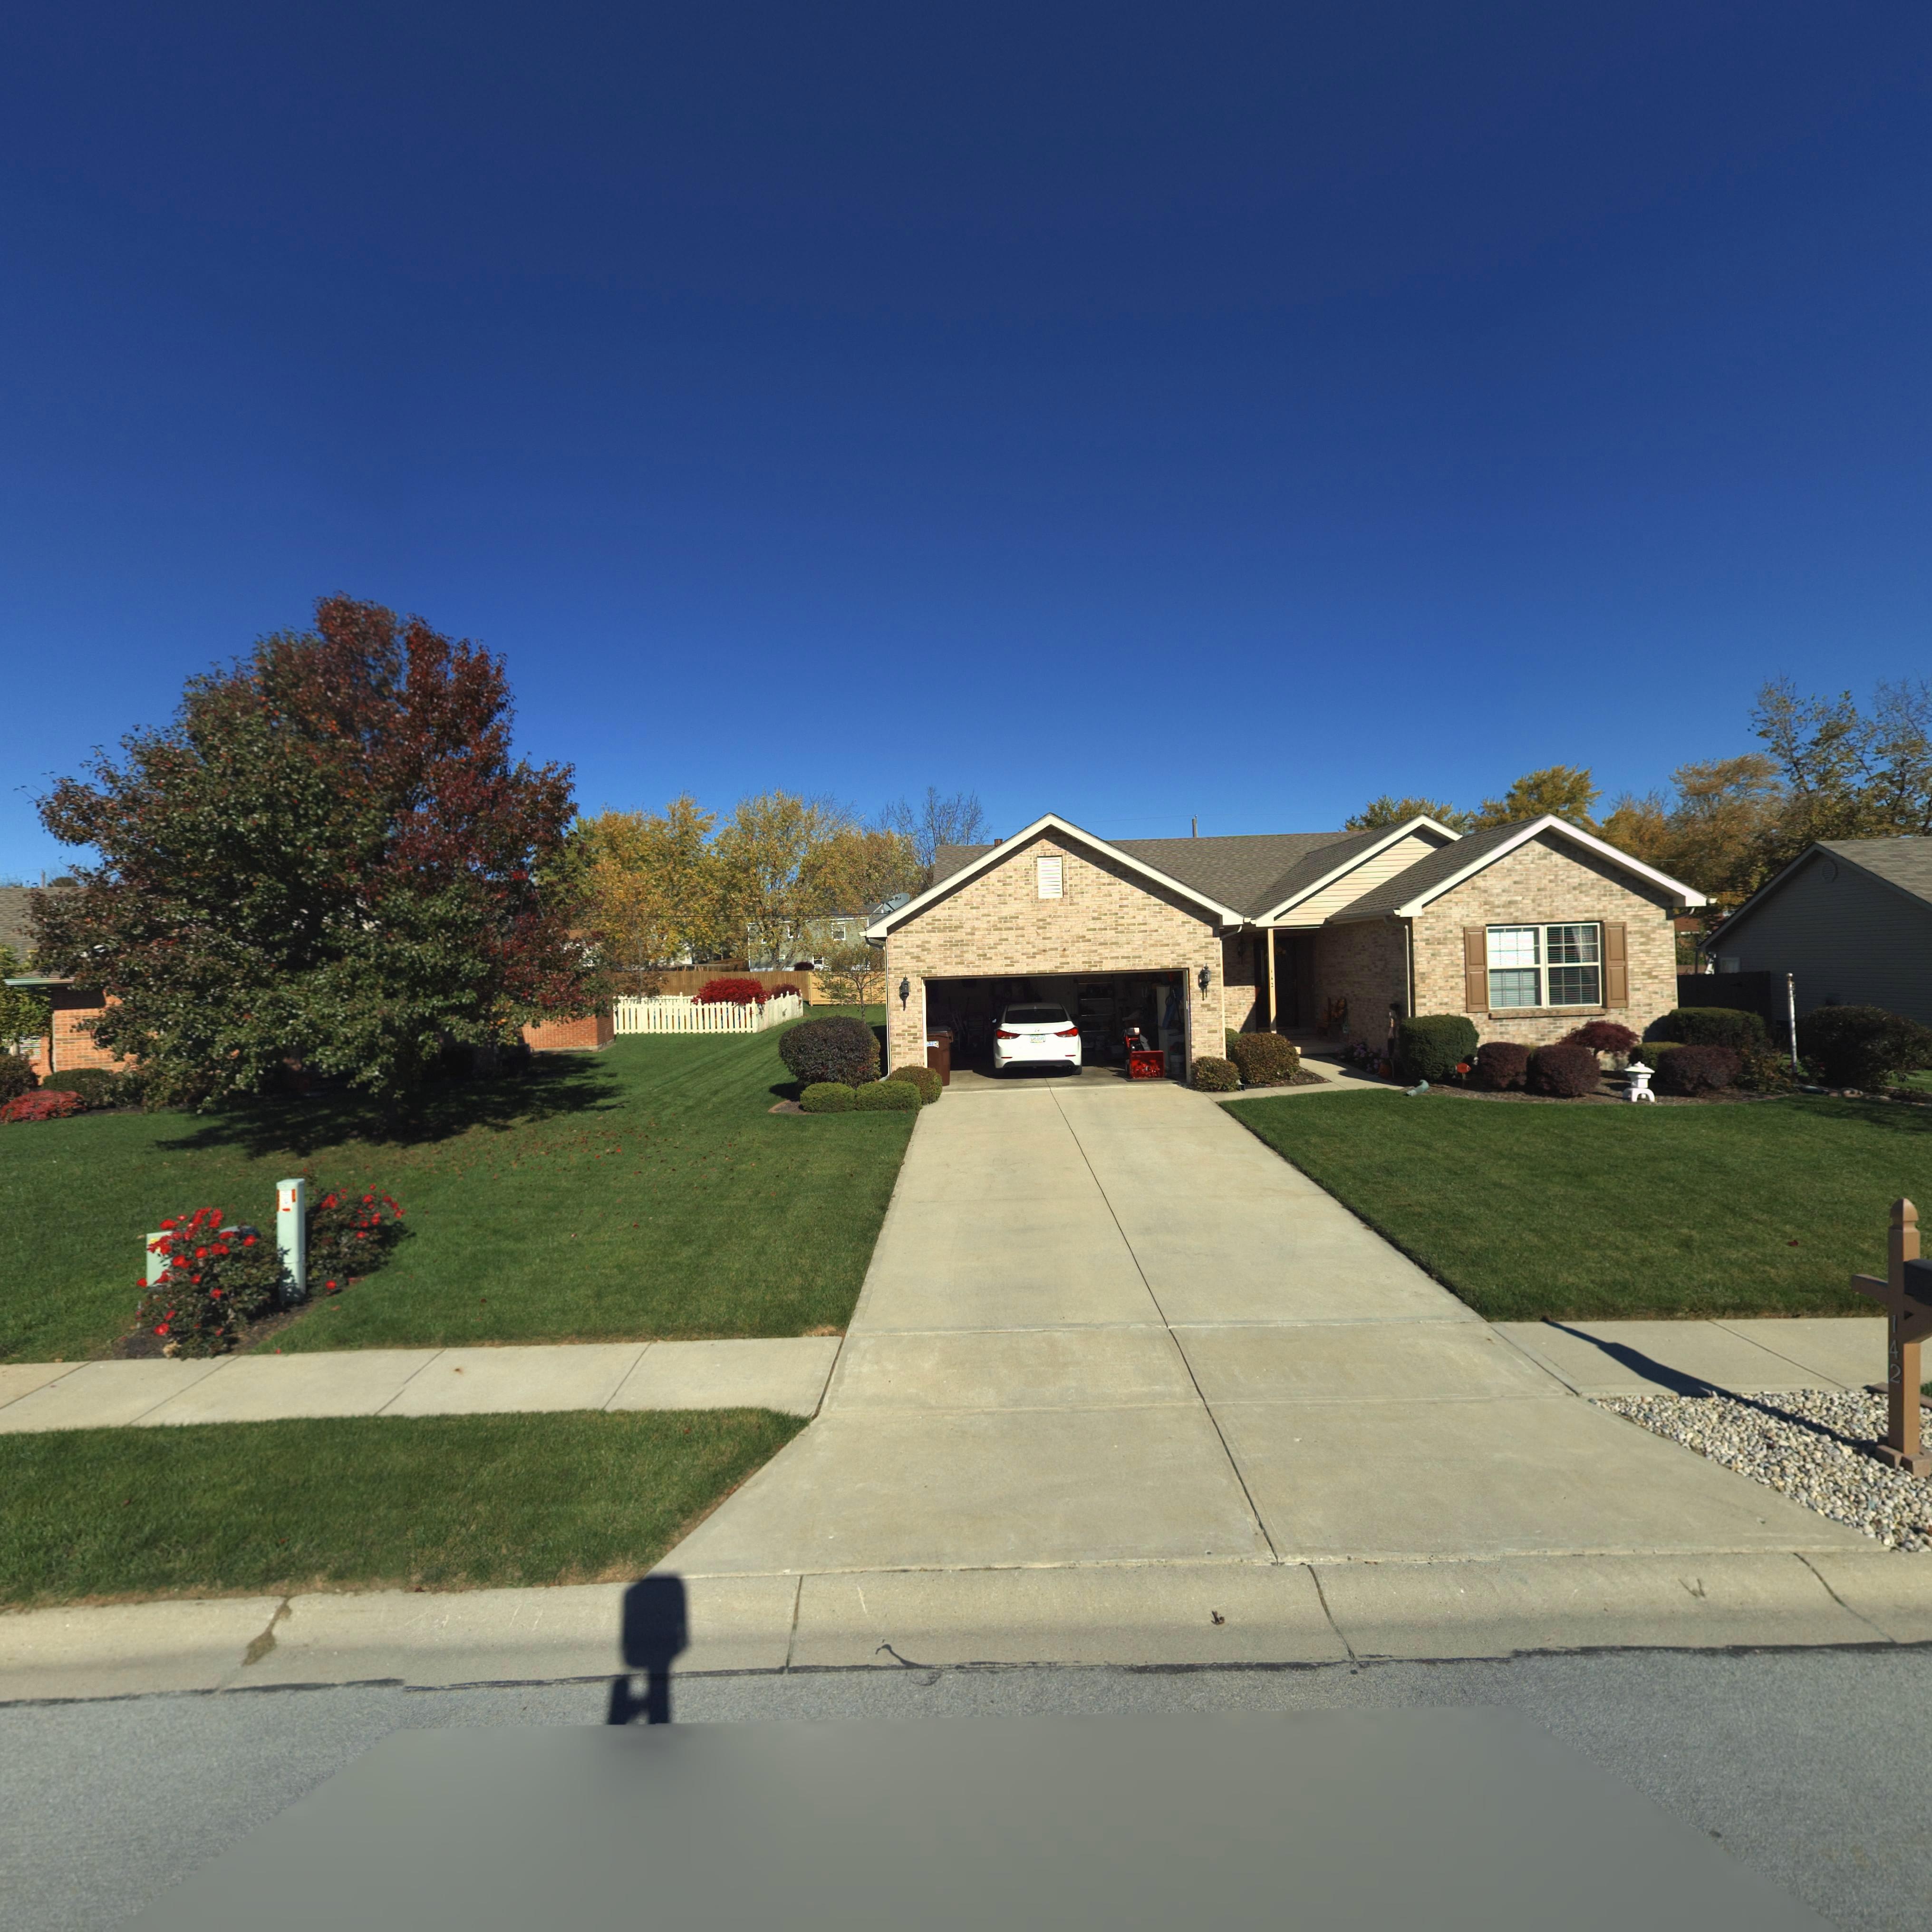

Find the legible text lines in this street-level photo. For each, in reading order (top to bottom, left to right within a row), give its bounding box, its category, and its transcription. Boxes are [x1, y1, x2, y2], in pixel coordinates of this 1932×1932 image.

[1270, 968, 1274, 988] StreetNumber: 1*2
[1888, 1313, 1902, 1386] StreetNumber: 142